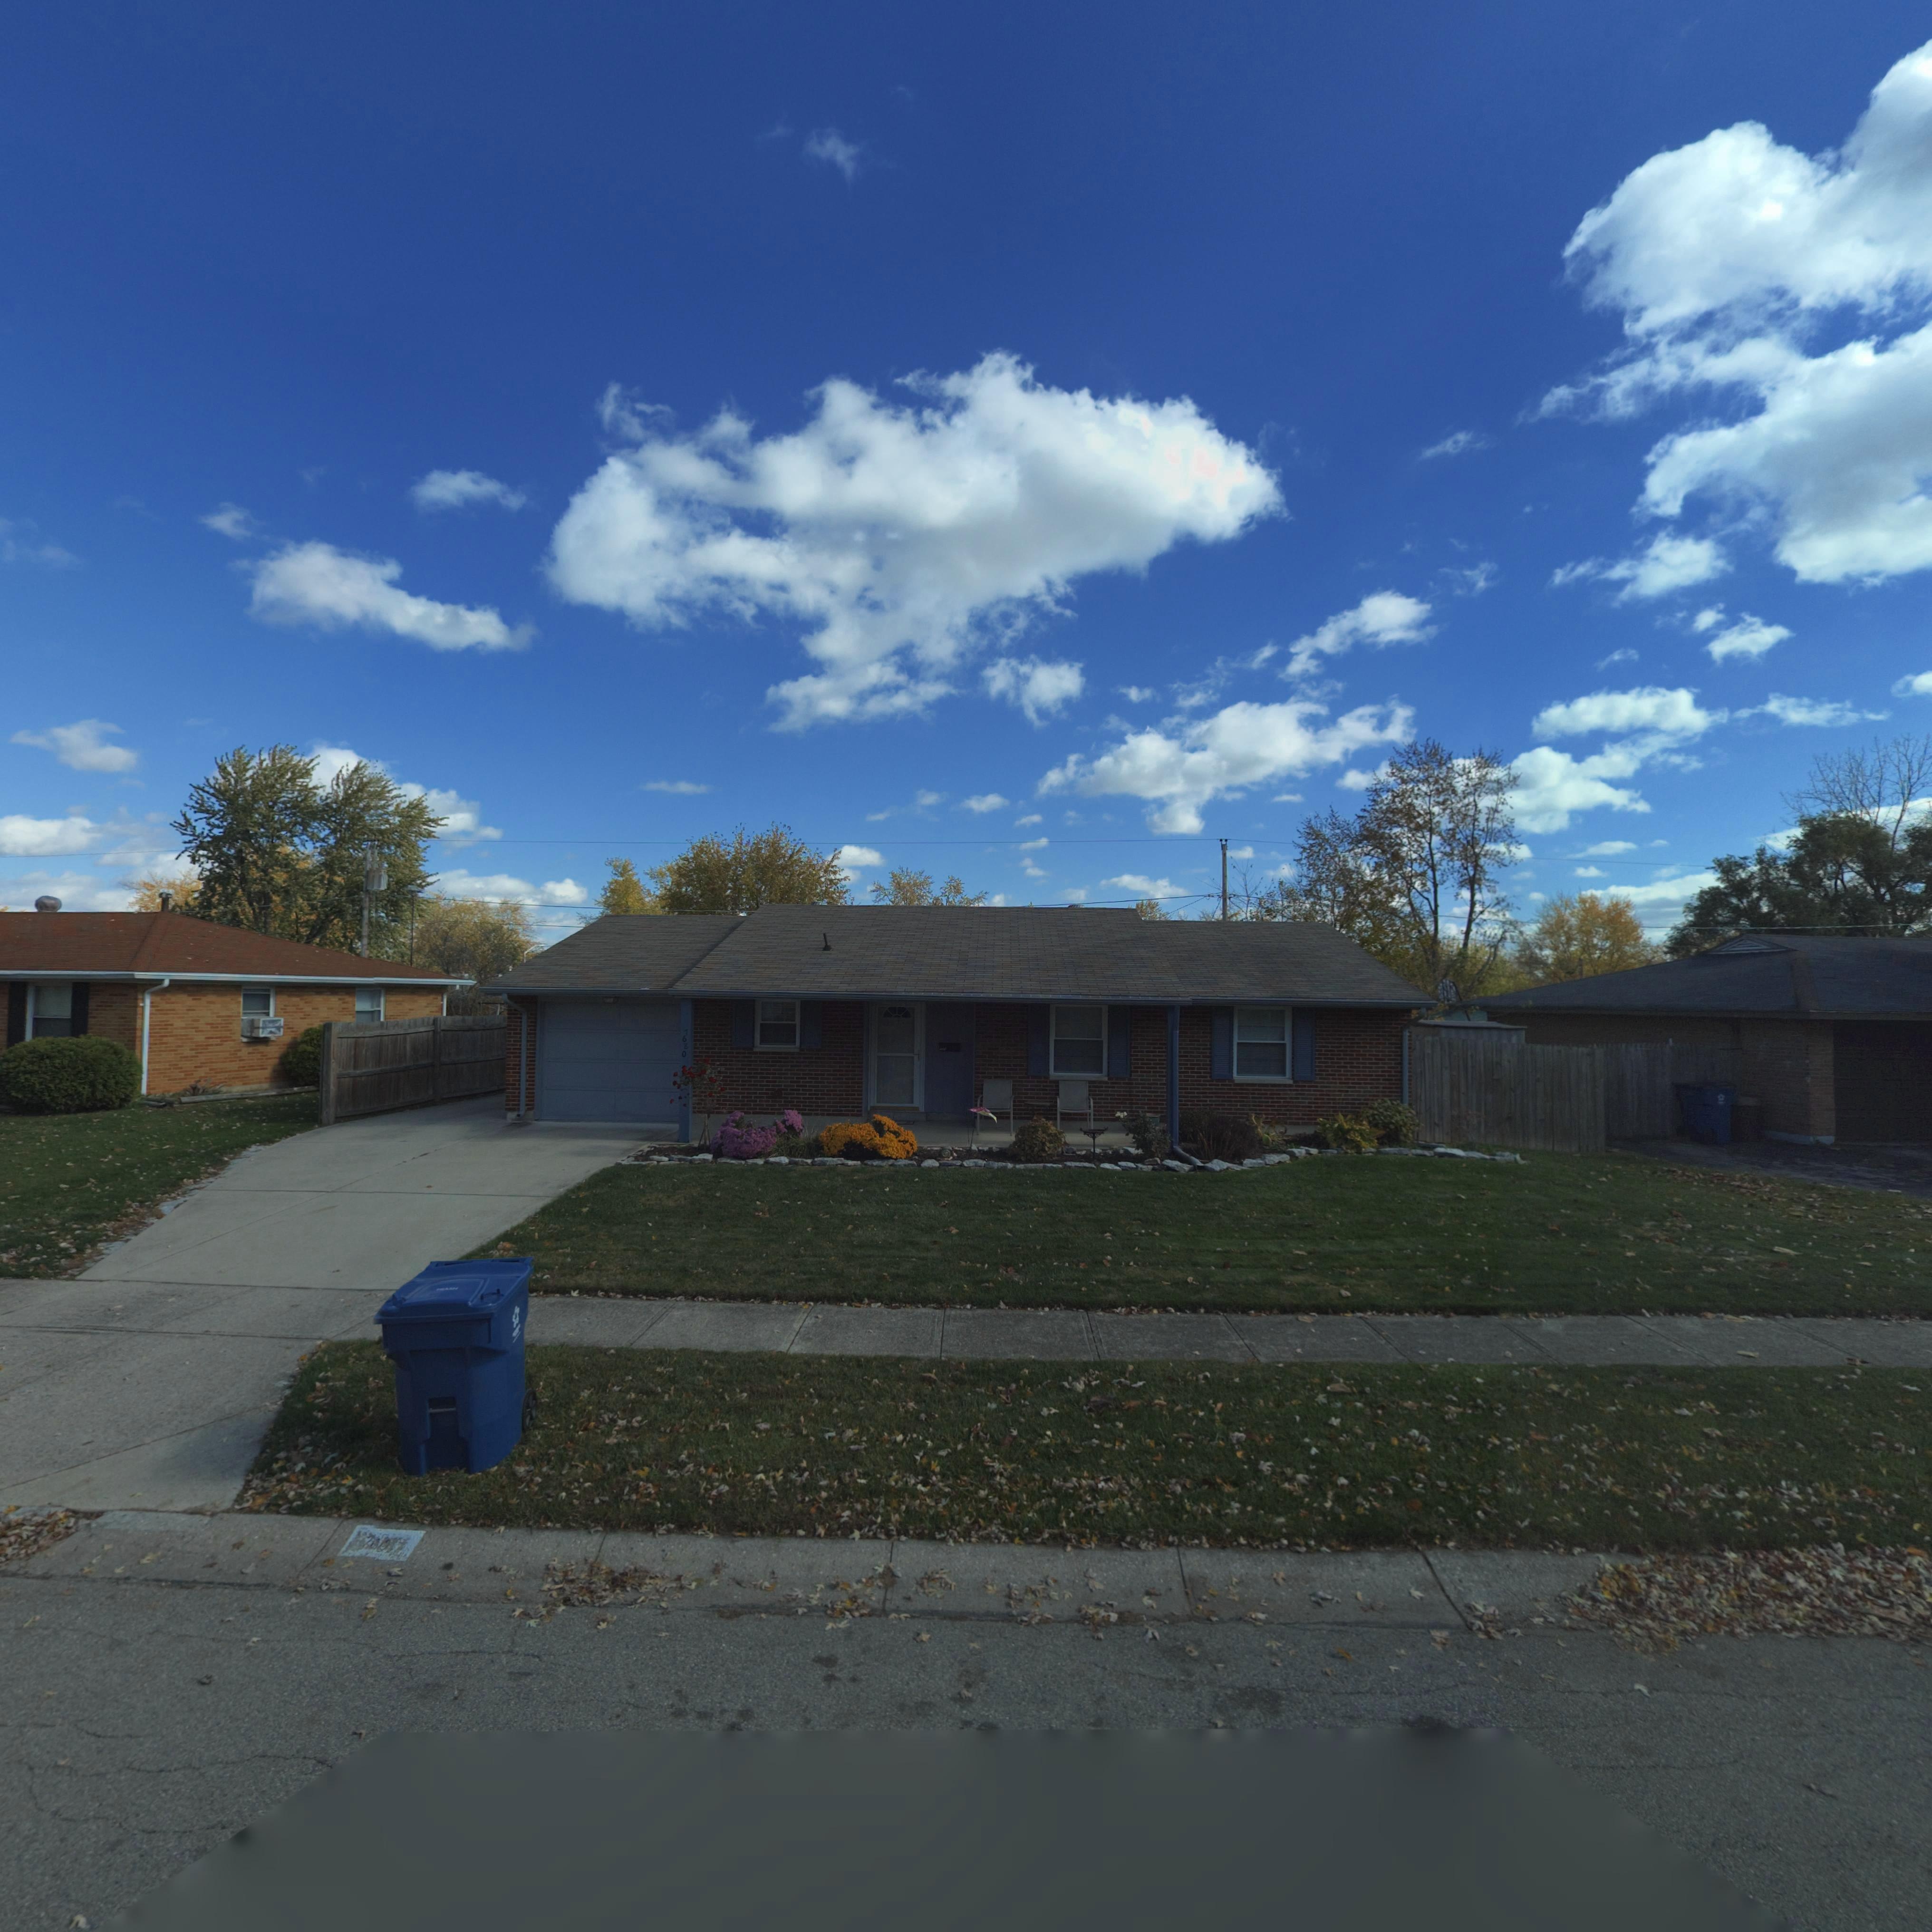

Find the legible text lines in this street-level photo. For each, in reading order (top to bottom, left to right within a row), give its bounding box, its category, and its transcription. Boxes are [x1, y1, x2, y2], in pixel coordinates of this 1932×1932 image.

[681, 1028, 689, 1058] StreetNumber: 7680
[360, 1533, 392, 1553] StreetNumber: 7**0